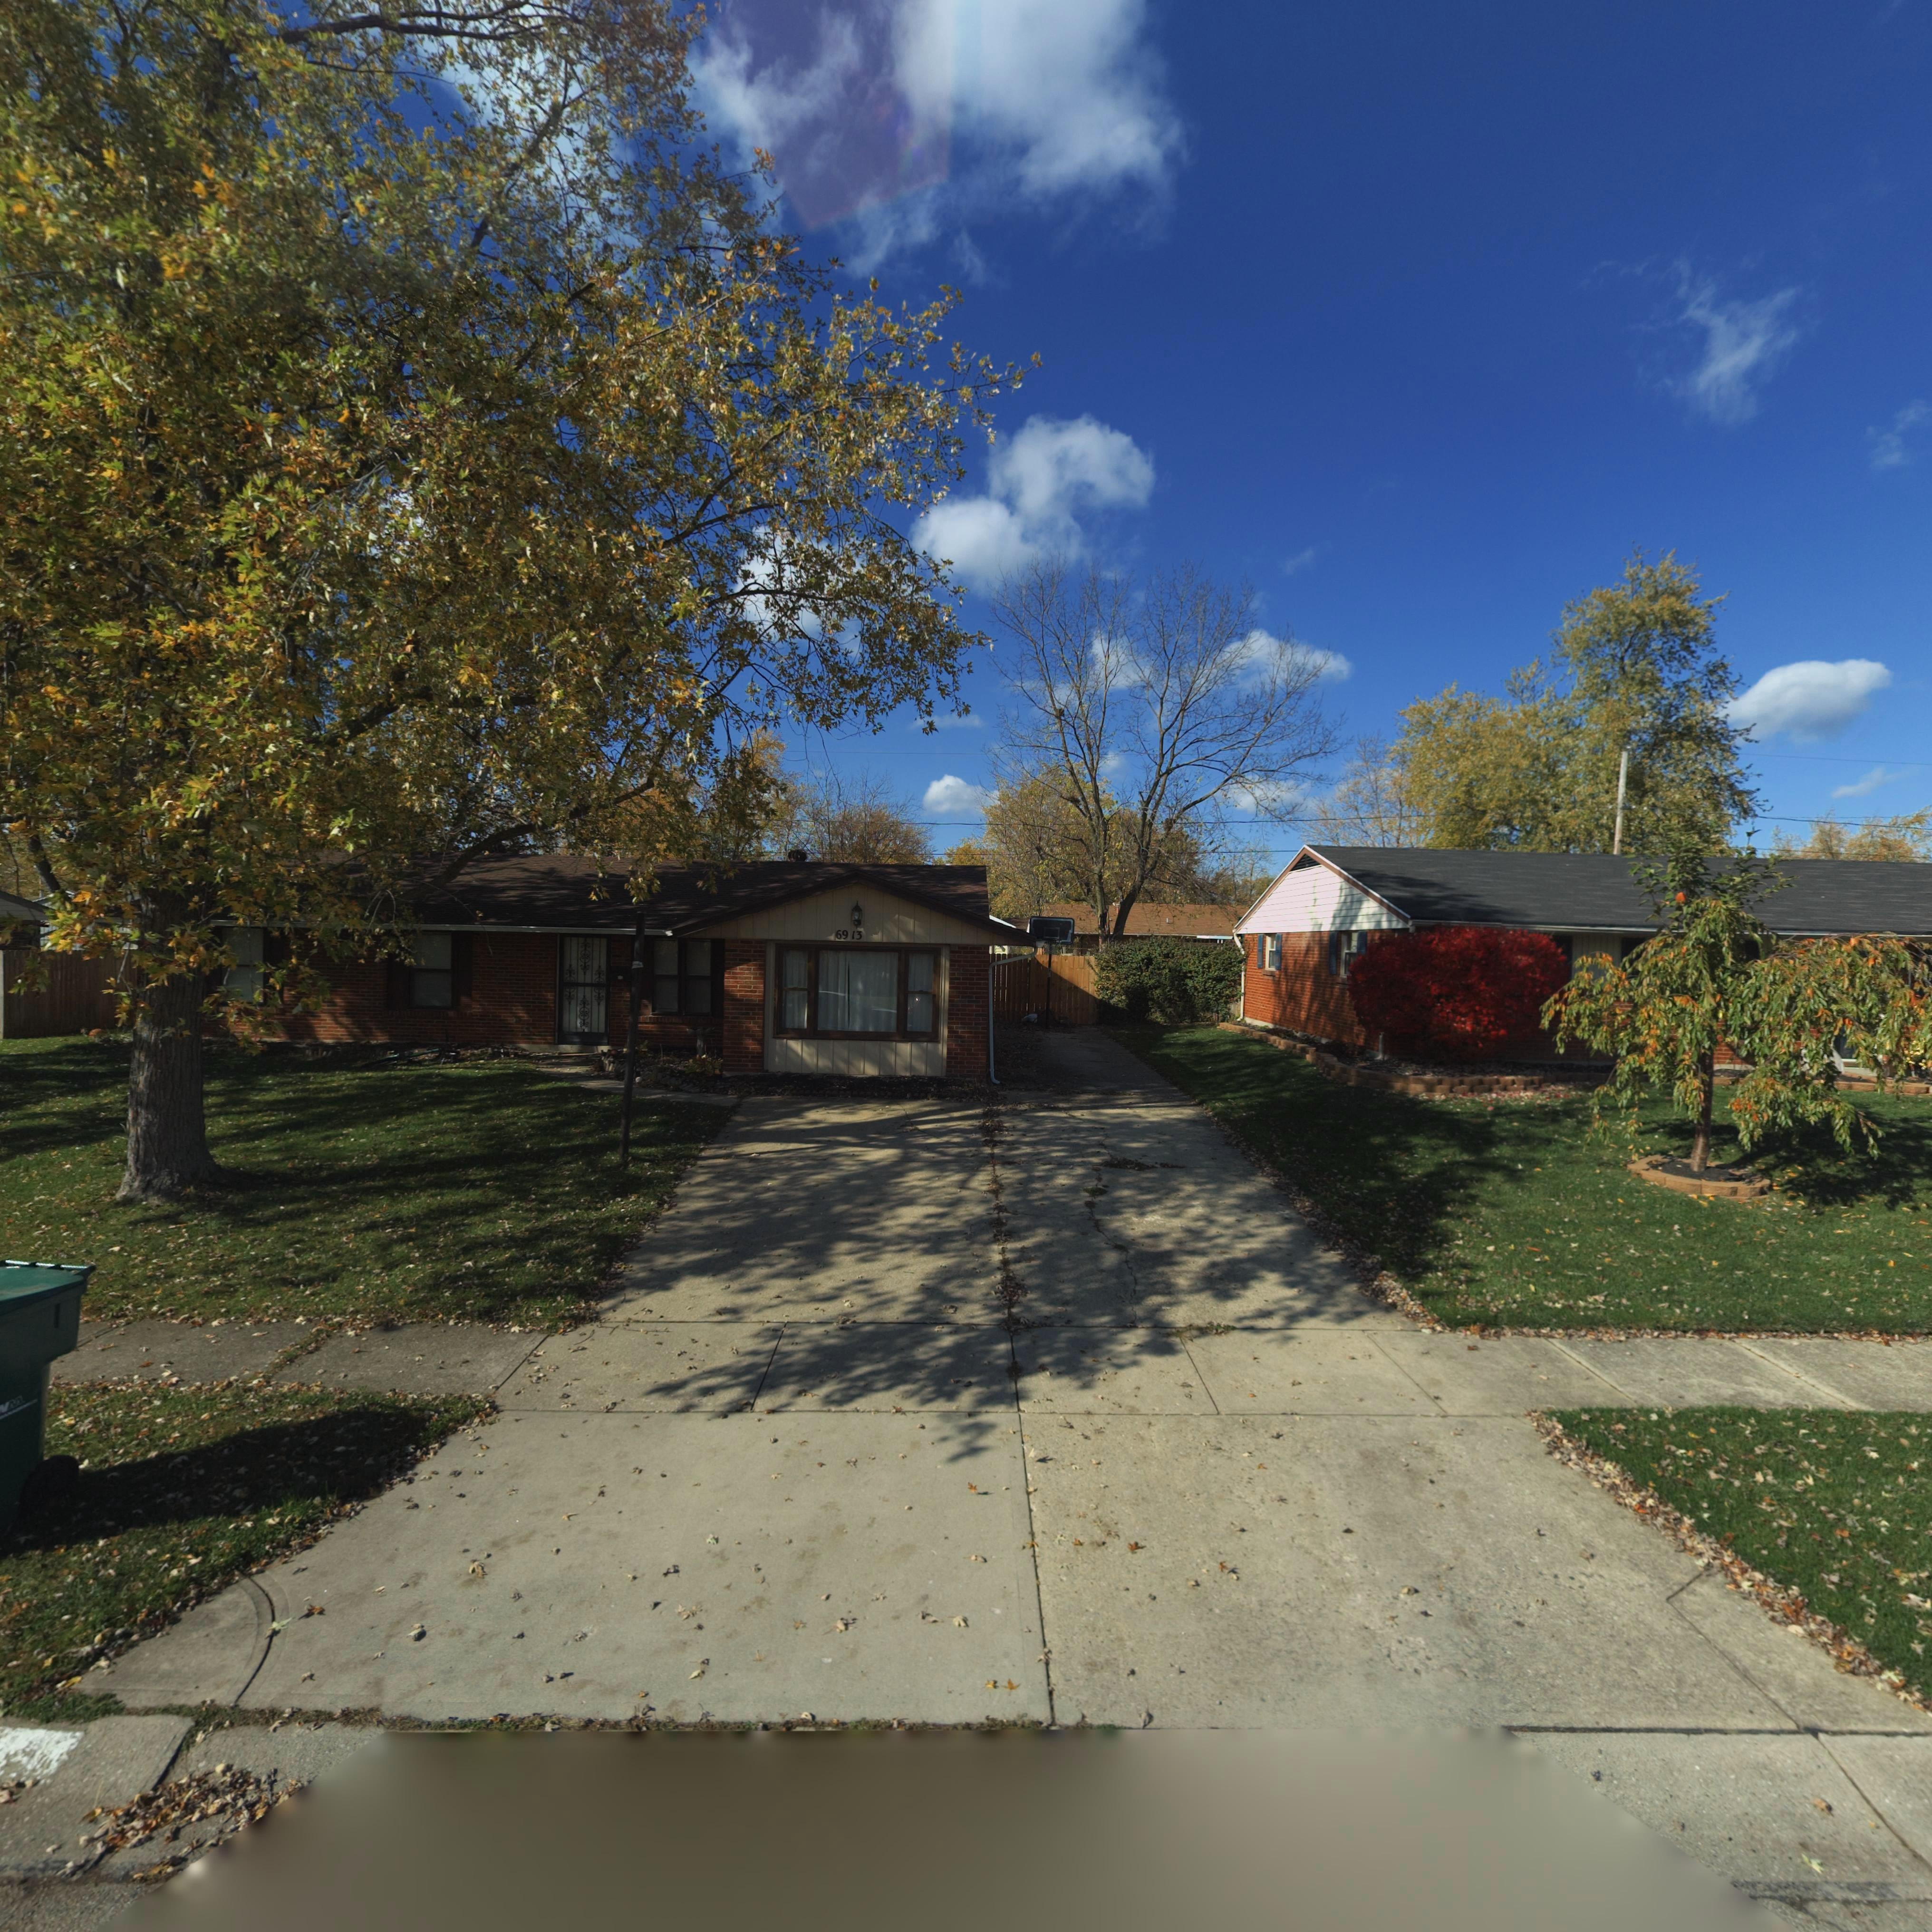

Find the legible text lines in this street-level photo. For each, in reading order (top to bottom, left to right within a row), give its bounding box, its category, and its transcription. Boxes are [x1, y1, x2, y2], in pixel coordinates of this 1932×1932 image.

[834, 928, 864, 941] StreetNumber: 6913